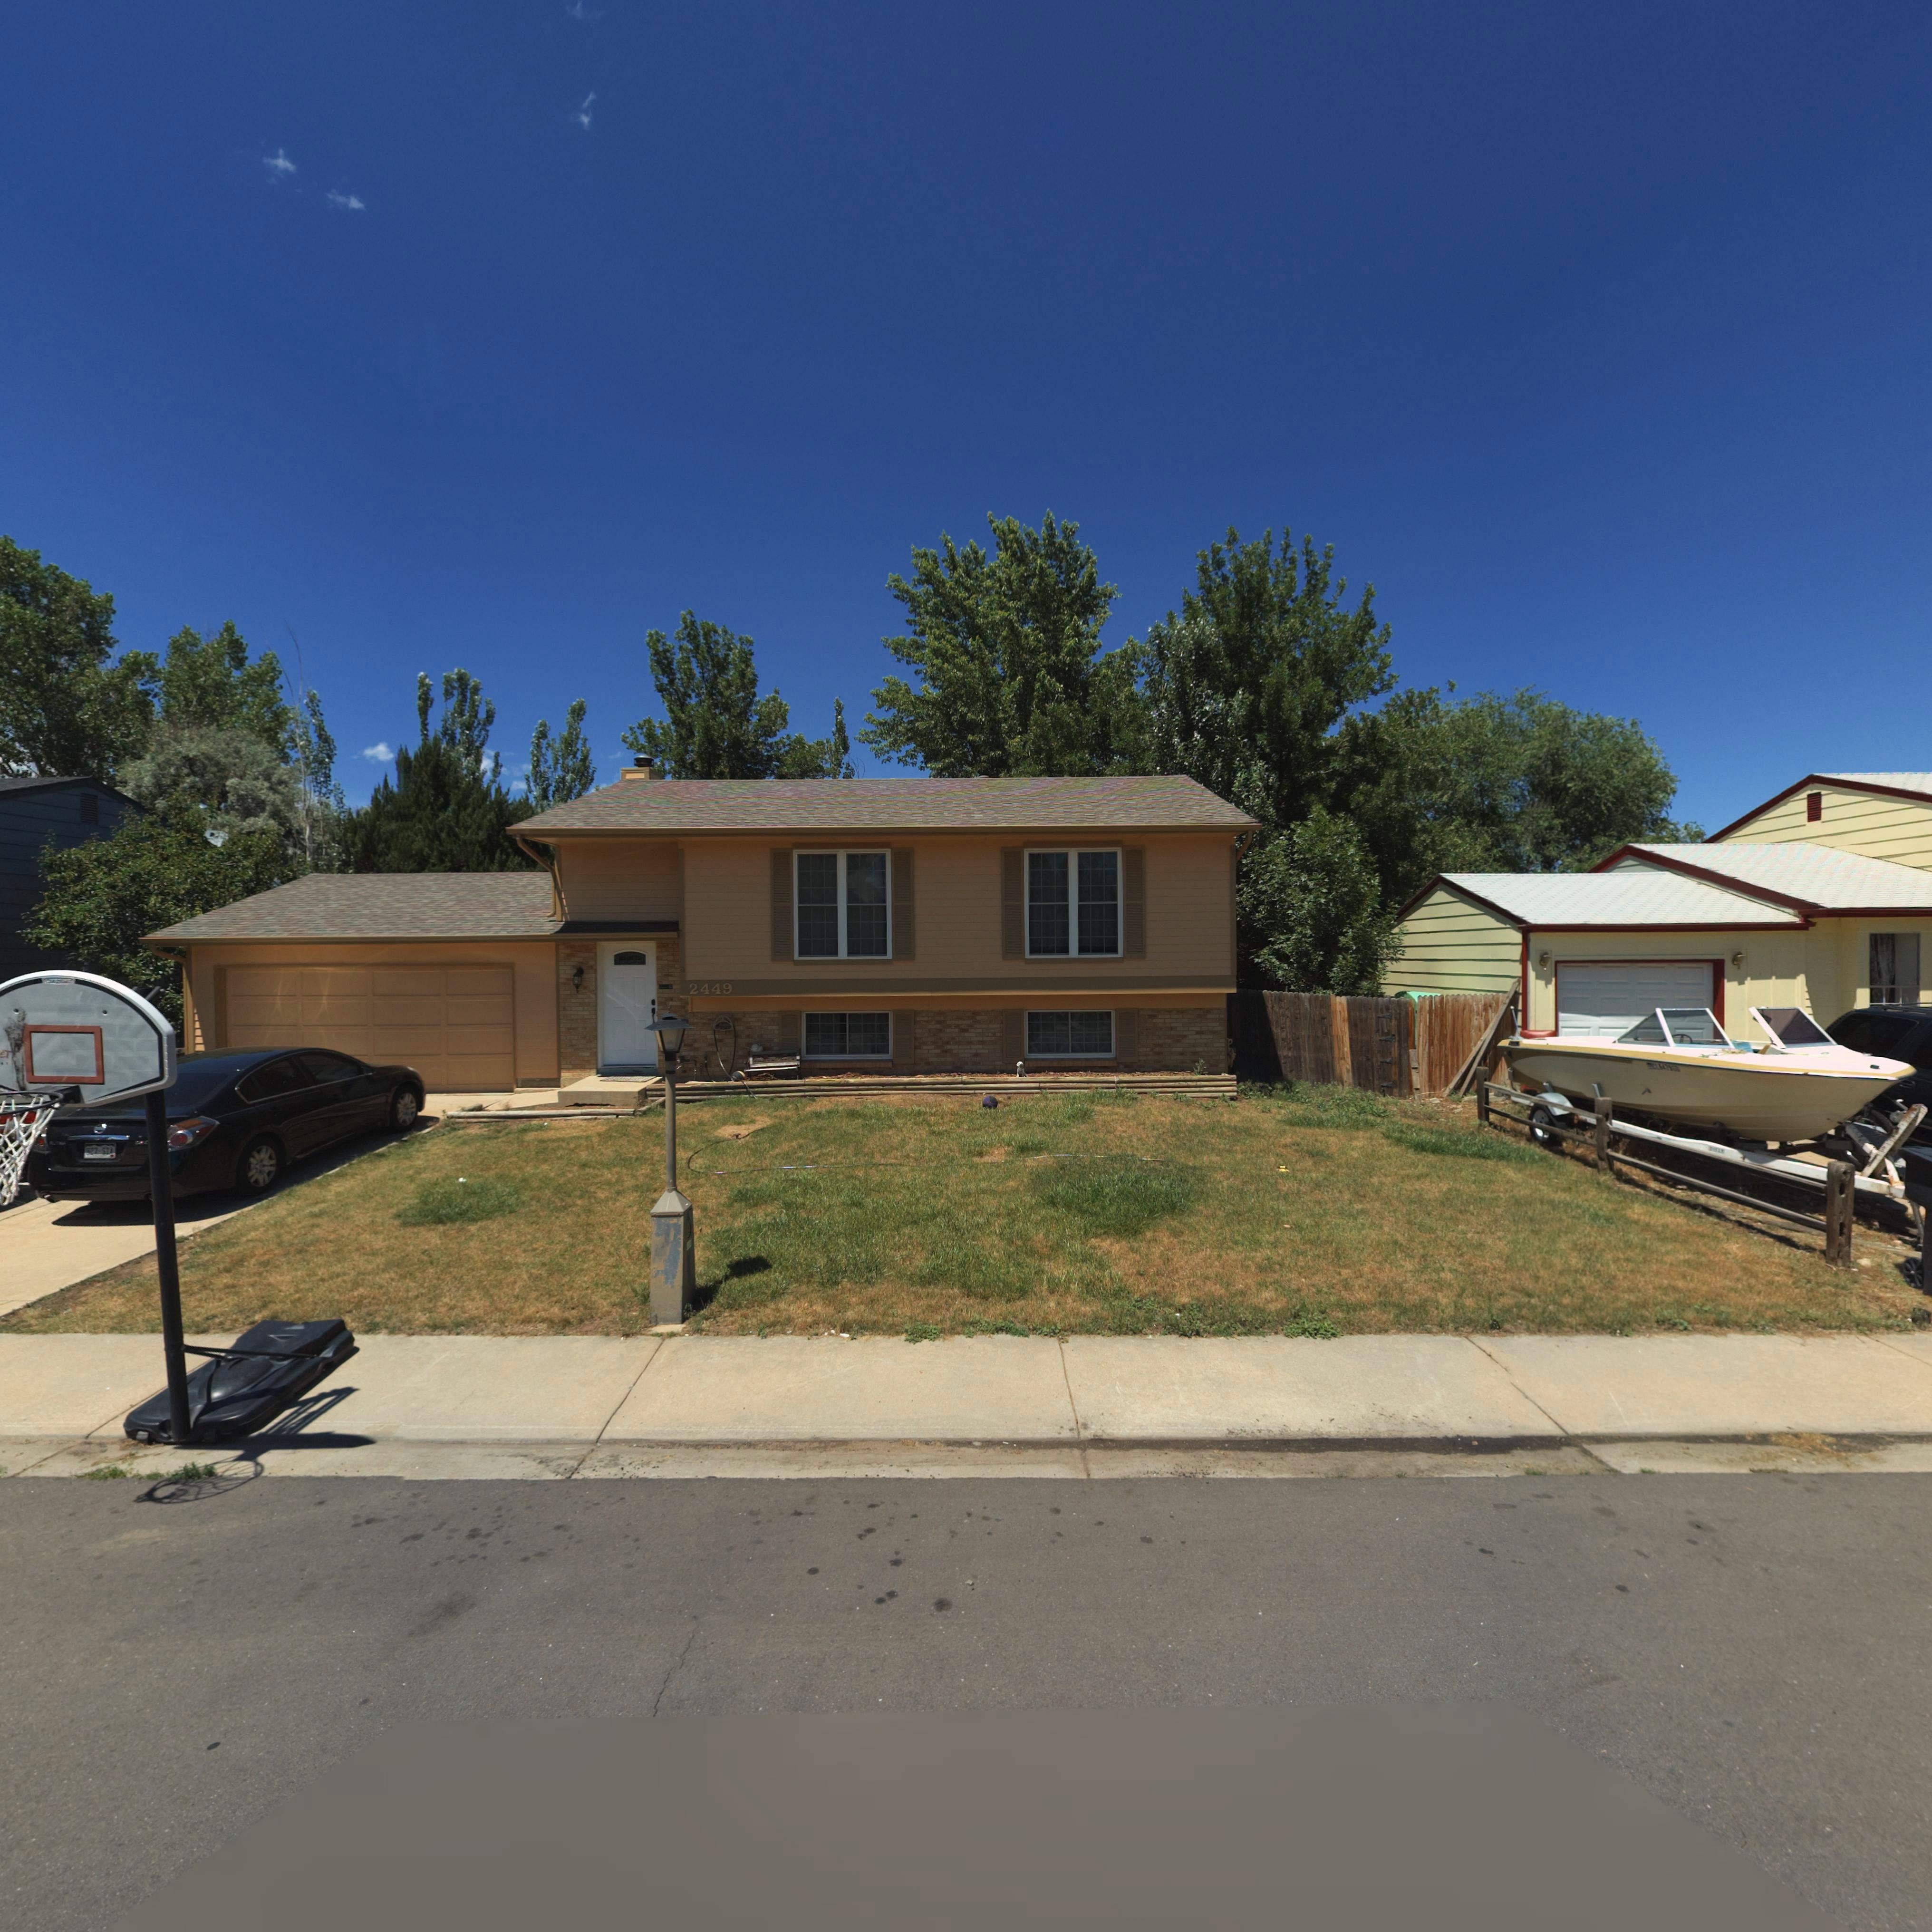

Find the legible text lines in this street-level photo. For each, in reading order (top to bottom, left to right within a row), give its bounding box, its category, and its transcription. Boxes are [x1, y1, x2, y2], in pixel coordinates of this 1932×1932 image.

[688, 982, 734, 995] StreetNumber: 2449